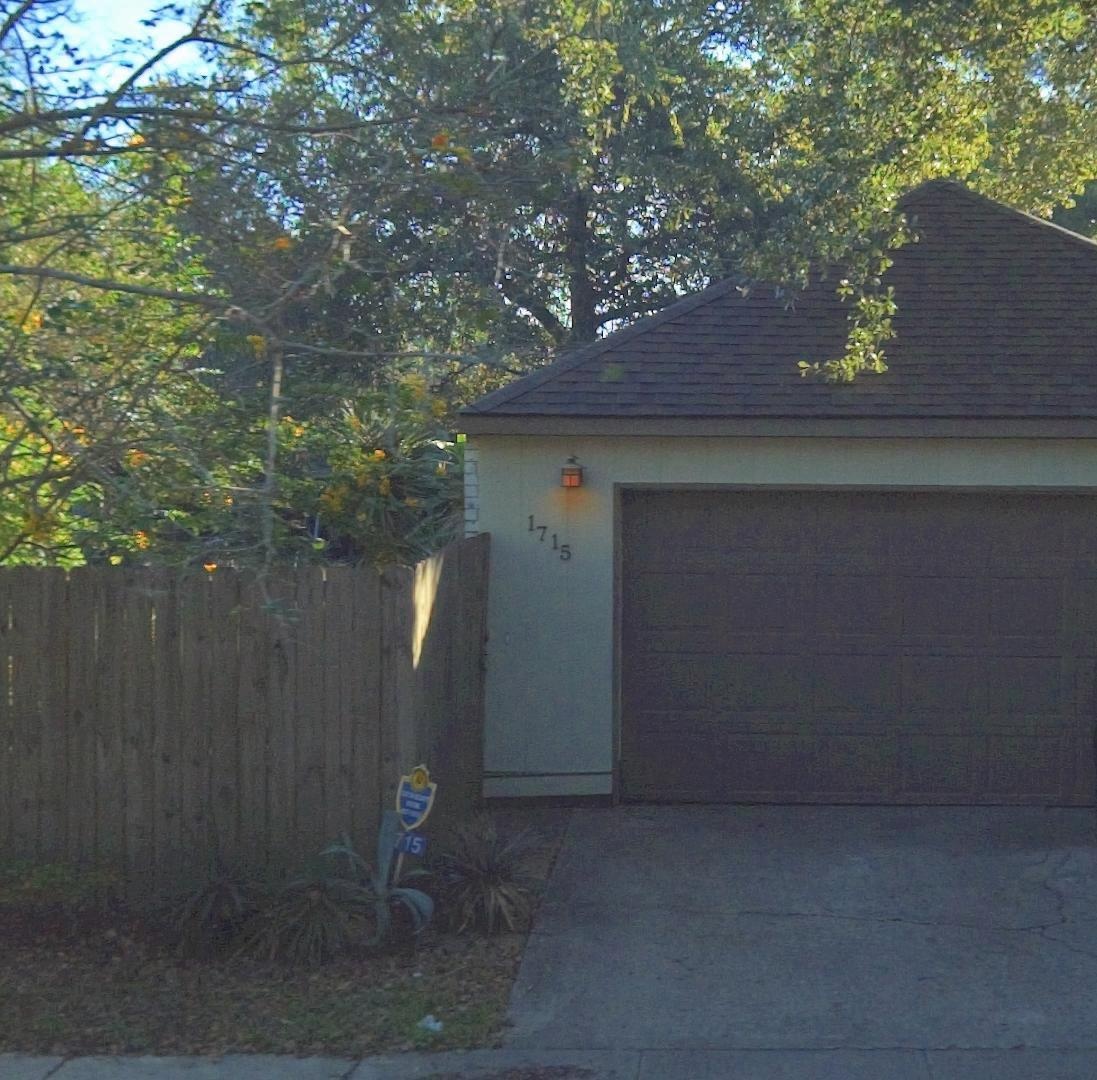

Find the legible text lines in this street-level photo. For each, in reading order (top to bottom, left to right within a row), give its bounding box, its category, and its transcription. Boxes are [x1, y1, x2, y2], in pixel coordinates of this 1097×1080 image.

[525, 512, 573, 563] StreetNumber: 1715
[389, 828, 428, 858] StreetNumber: 715